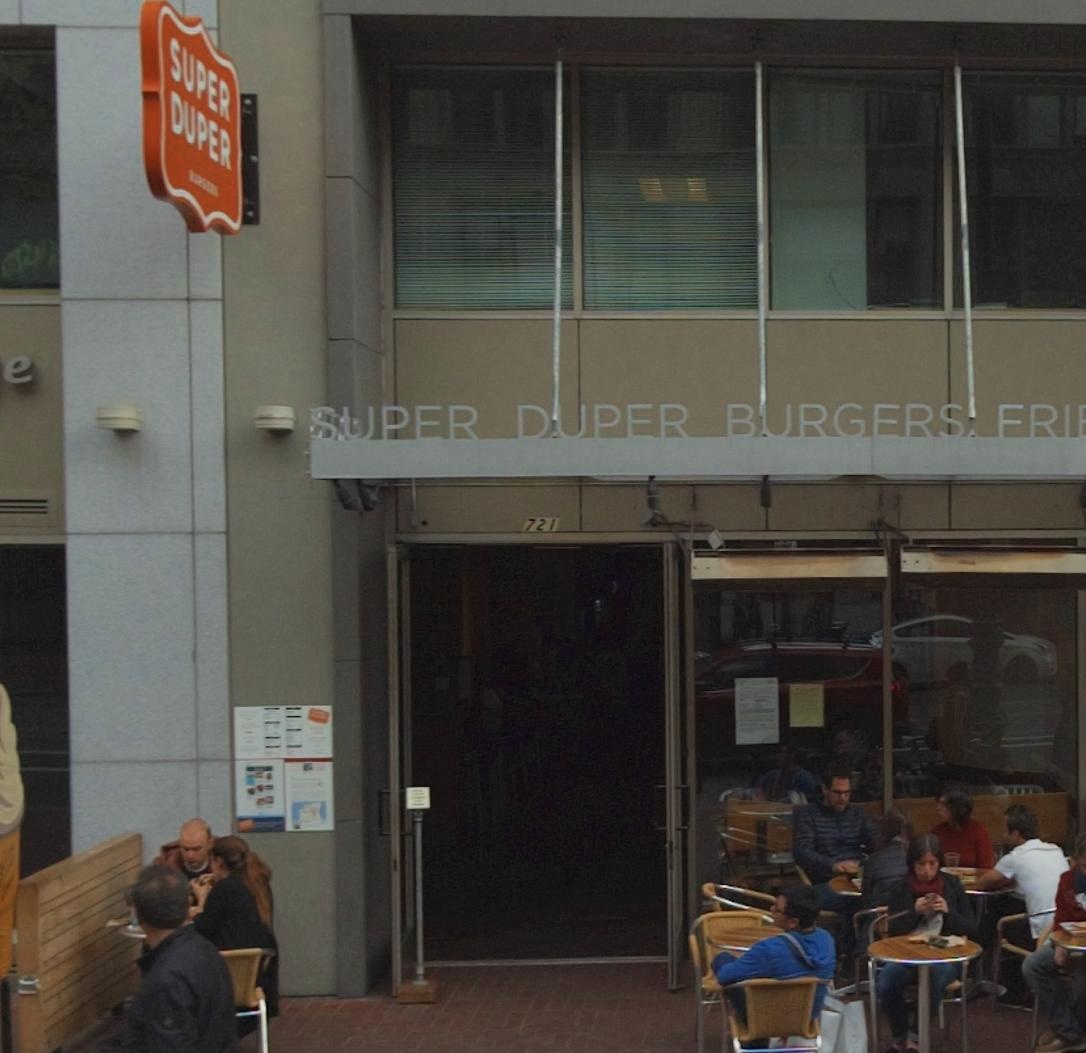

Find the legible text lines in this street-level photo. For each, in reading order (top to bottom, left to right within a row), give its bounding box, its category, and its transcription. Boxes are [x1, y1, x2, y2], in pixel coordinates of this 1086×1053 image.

[169, 34, 232, 126] BusinessName: SUPER
[169, 87, 235, 175] BusinessName: DUPER
[2, 353, 36, 386] None: e
[312, 402, 1072, 442] BusinessName: SUPER DUPER BURGERS FRI
[523, 517, 558, 532] StreetNumber: 721